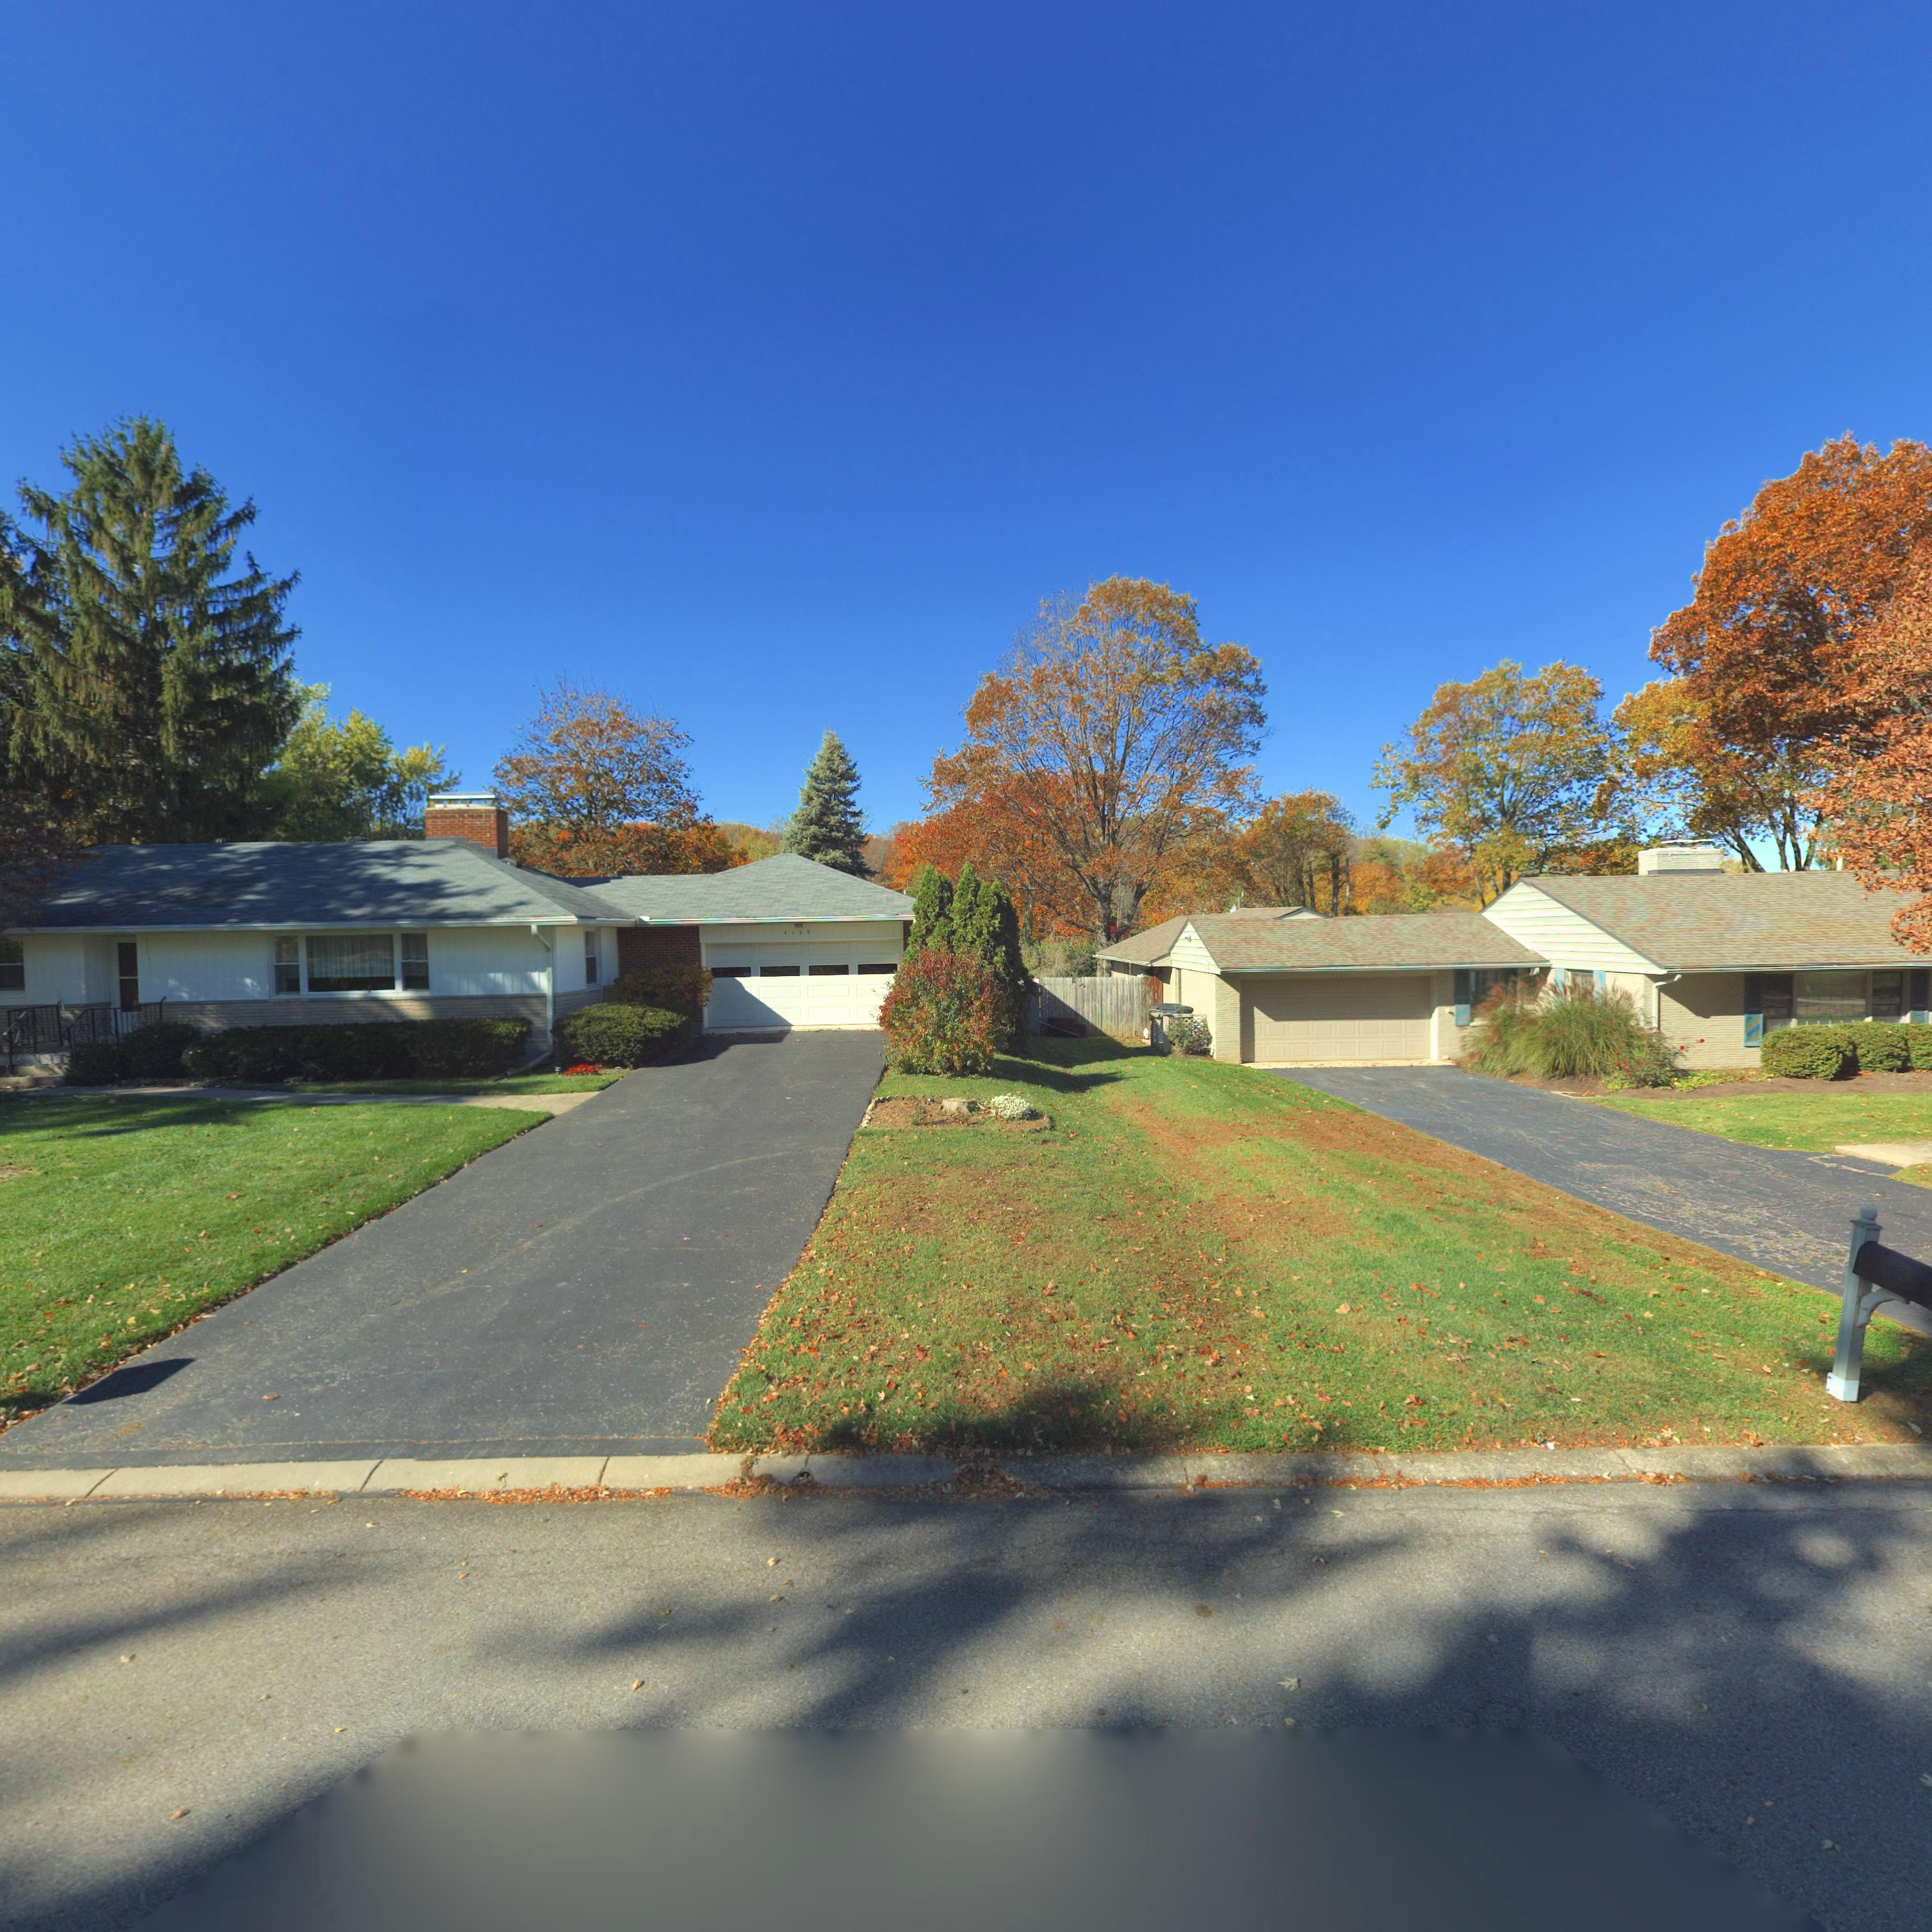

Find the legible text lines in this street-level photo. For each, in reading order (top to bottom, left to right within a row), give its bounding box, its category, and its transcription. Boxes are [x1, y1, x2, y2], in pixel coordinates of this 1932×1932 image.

[782, 929, 811, 936] StreetNumber: 4129